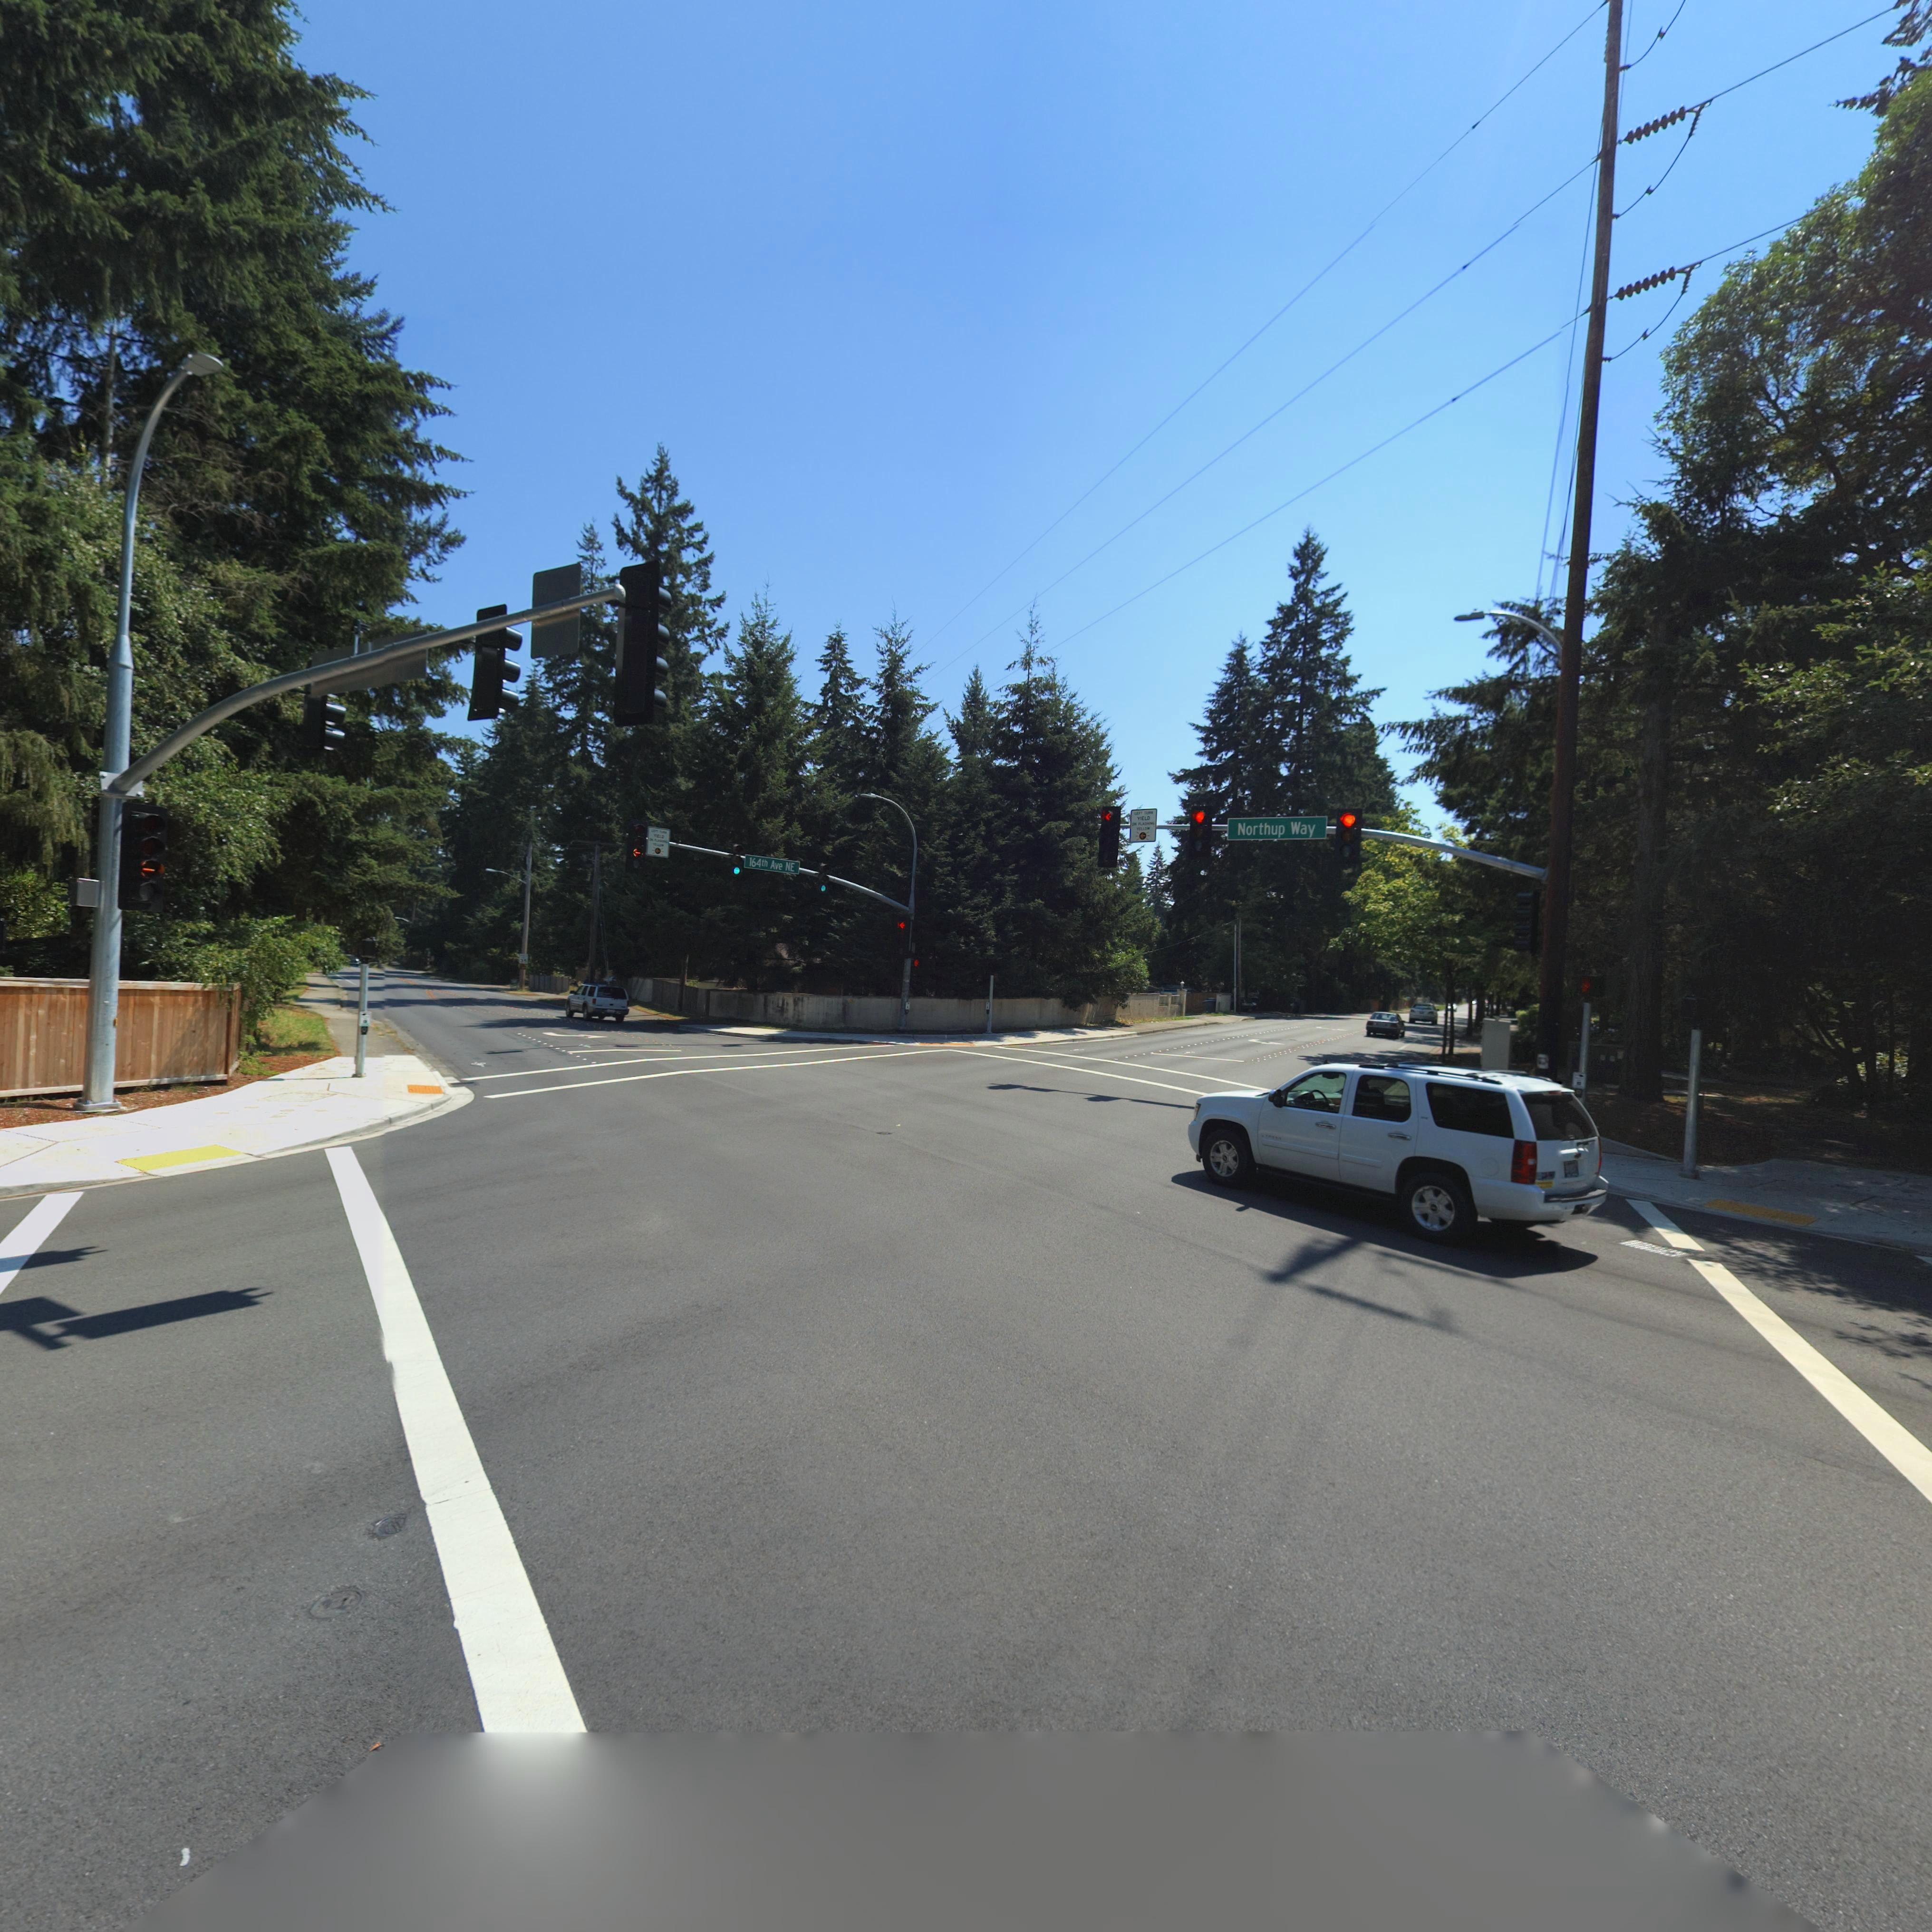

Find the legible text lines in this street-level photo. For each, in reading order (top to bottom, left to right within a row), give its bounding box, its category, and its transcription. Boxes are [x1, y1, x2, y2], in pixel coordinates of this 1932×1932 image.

[1237, 821, 1318, 840] StreetName: Northup Way
[749, 856, 795, 872] StreetName: 164th Ave NE